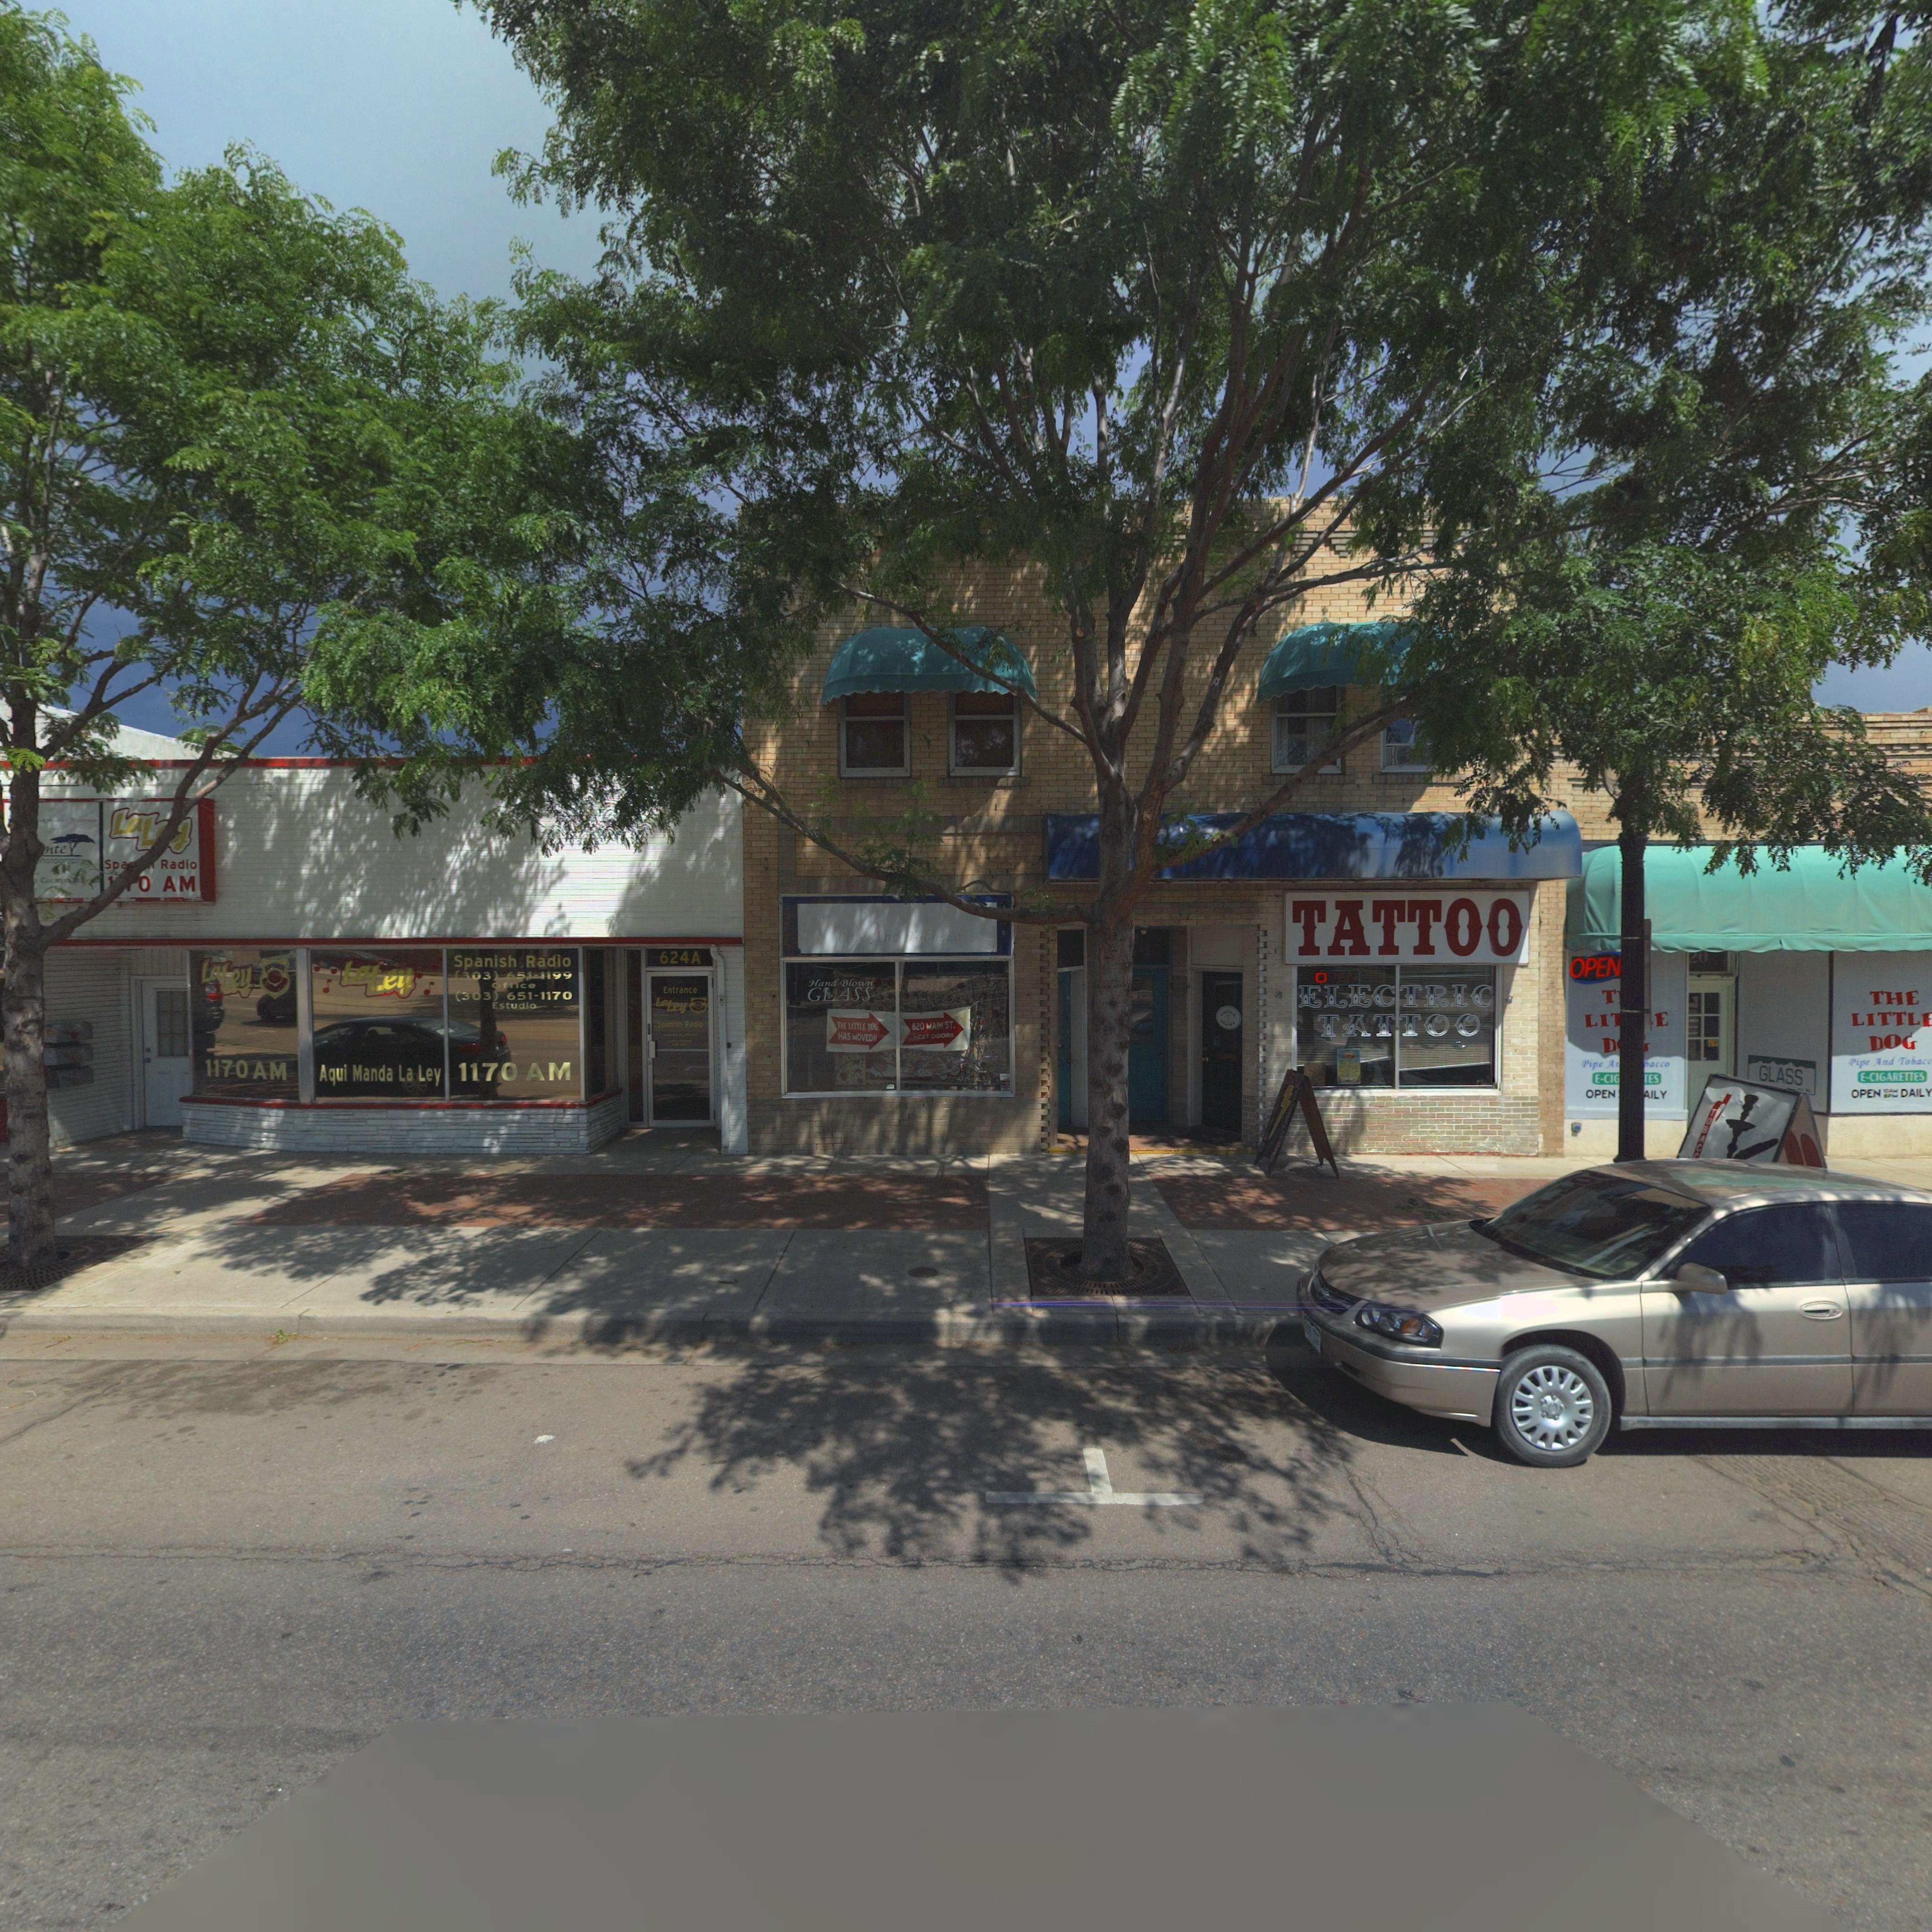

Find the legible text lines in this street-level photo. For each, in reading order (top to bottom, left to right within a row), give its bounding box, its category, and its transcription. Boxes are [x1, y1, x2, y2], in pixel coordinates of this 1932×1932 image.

[111, 808, 191, 851] BusinessName: LaL*y
[40, 843, 68, 856] BusinessName: ente
[659, 949, 702, 965] StreetNumber: 624A
[1688, 950, 1709, 964] BusinessName: 20
[200, 960, 253, 995] BusinessName: LaLey
[344, 961, 413, 995] BusinessName: LaLey
[655, 996, 687, 1014] BusinessName: LaLey
[1297, 983, 1494, 1010] BusinessName: ELECTRIC
[1600, 988, 1618, 1005] BusinessName: T
[1868, 989, 1920, 1006] BusinessName: THE
[1315, 1013, 1481, 1038] BusinessName: TATTOO
[1584, 1010, 1670, 1028] BusinessName: LI***E
[1851, 1011, 1921, 1027] BusinessName: LITTL
[1601, 1033, 1651, 1055] BusinessName: D**
[1868, 1030, 1918, 1053] BusinessName: DOG